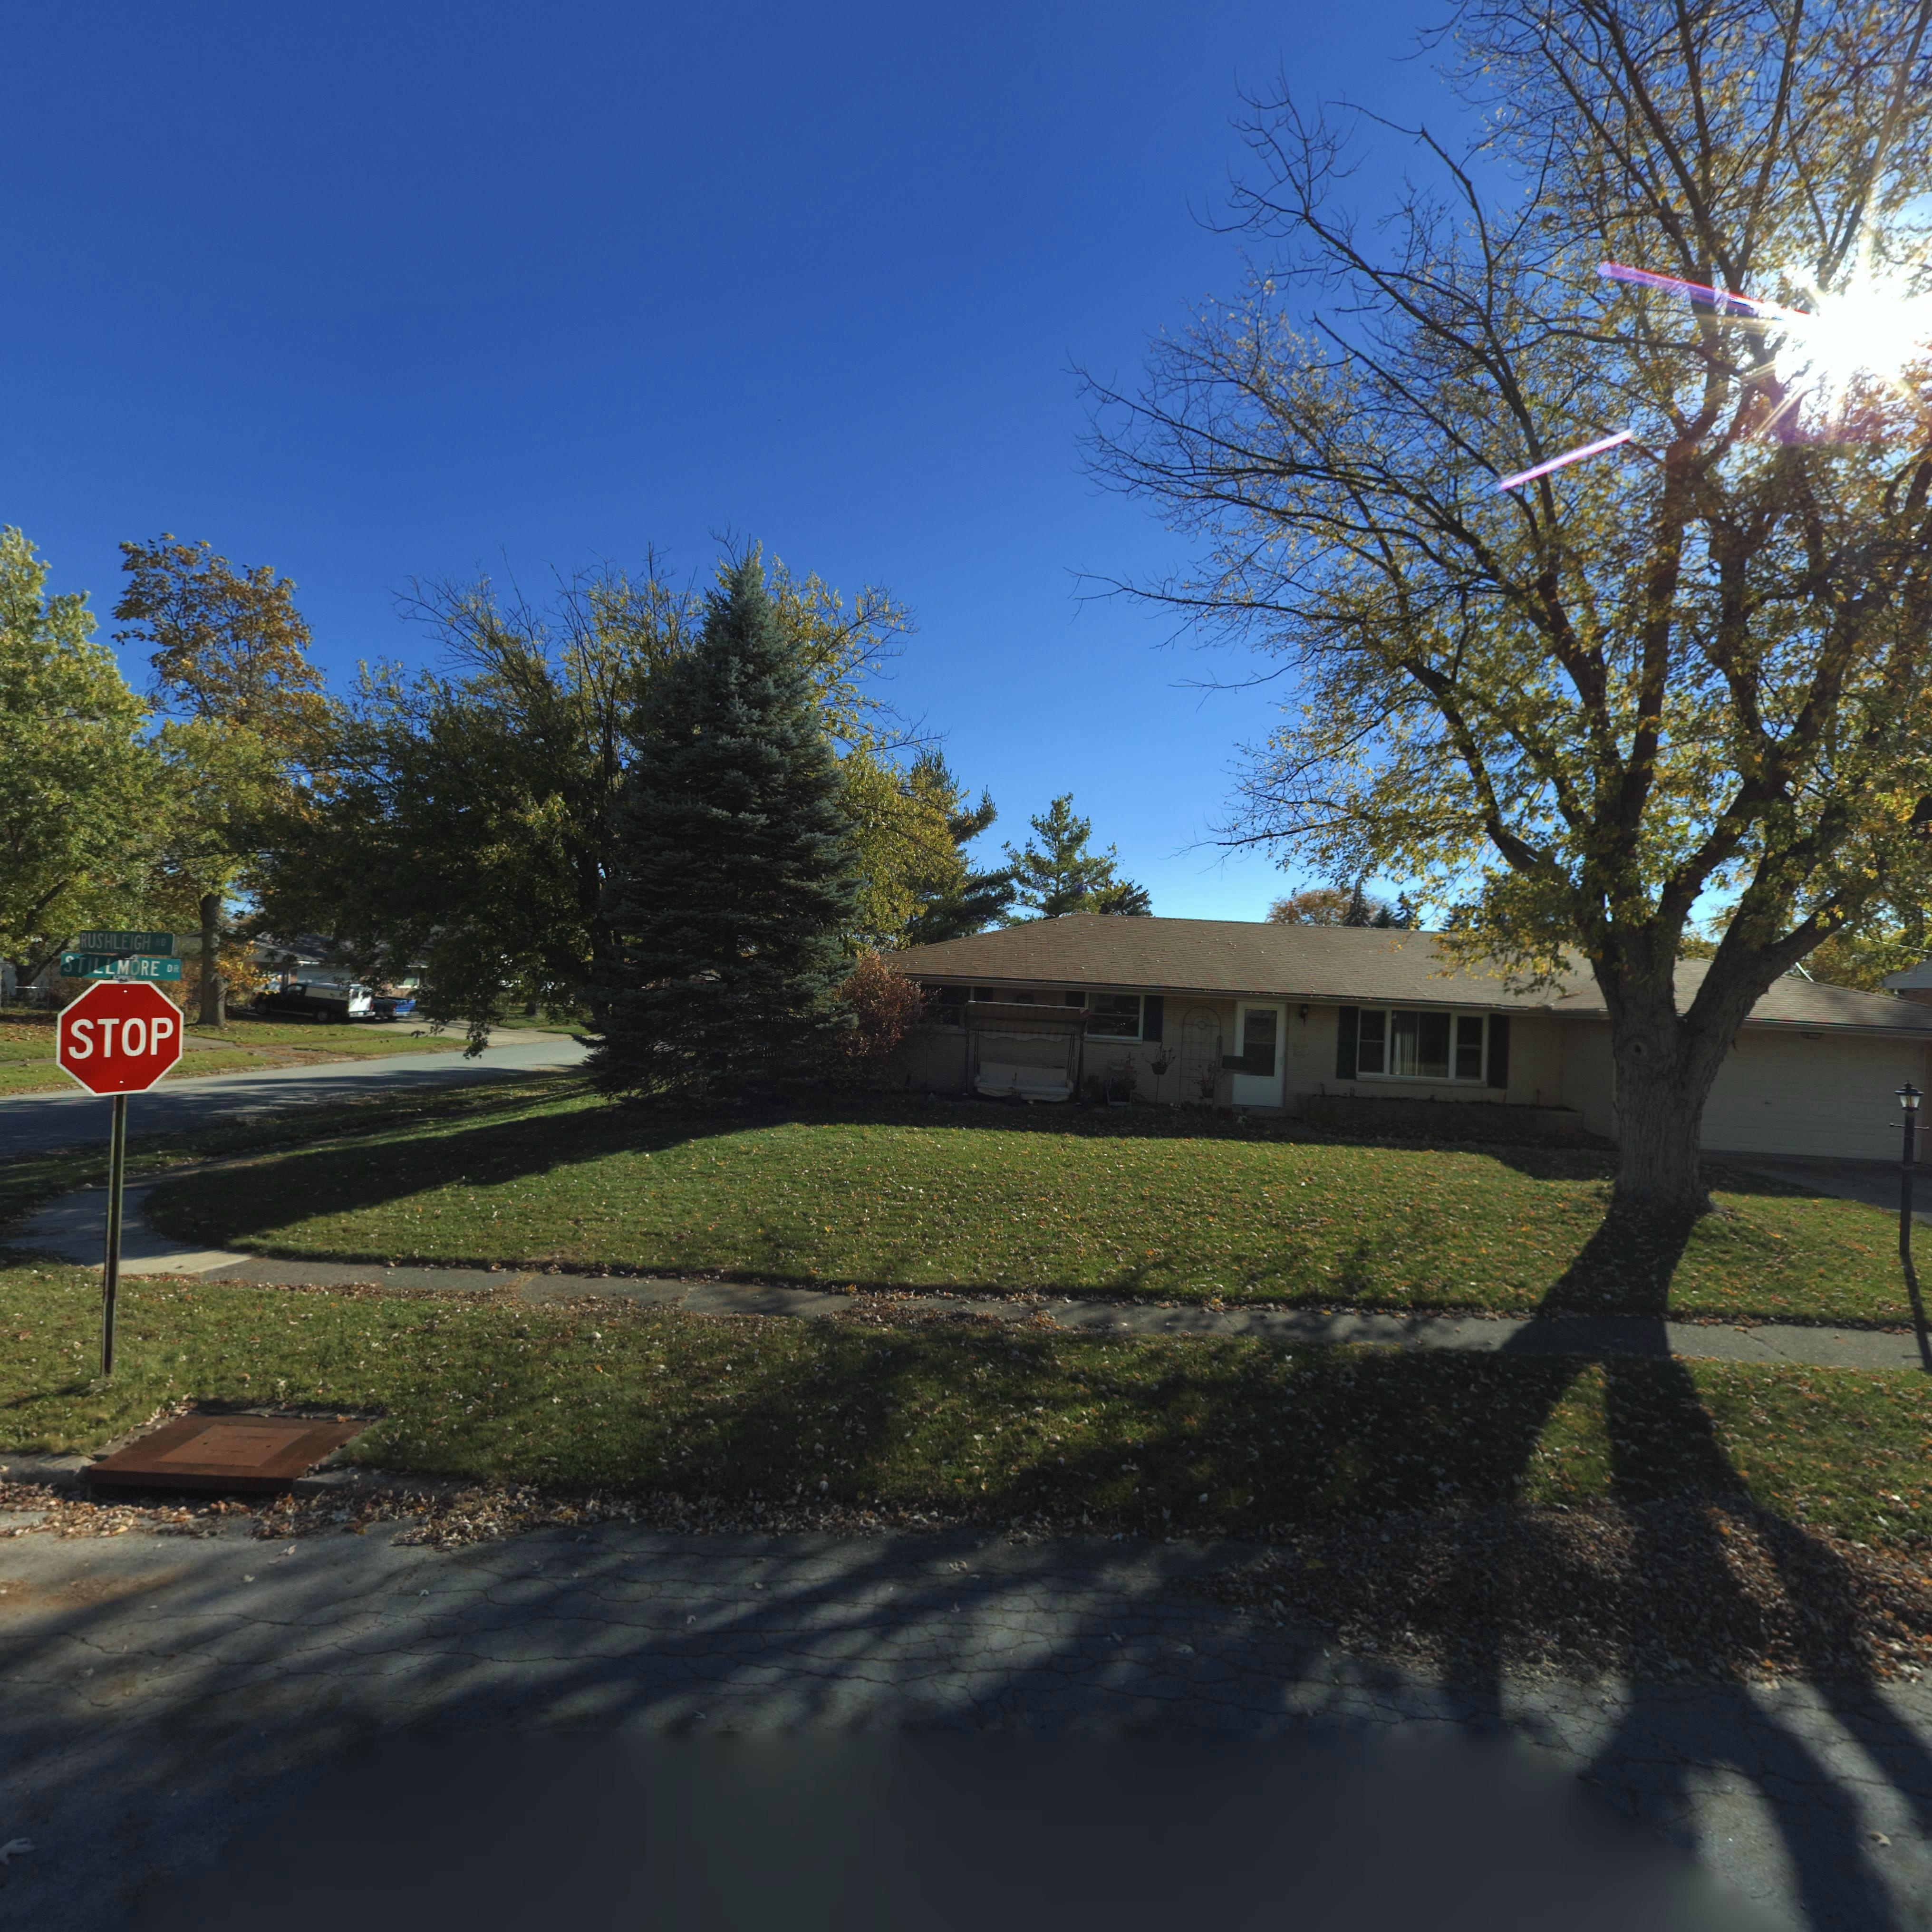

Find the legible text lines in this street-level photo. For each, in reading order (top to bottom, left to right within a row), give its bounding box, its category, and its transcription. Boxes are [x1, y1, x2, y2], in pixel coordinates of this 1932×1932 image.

[80, 931, 167, 952] StreetName: RUSHLEIGH RD
[62, 954, 181, 977] StreetName: STILLMORE DR
[66, 1016, 175, 1061] None: STOP
[1217, 1037, 1223, 1066] StreetNumber: 6901